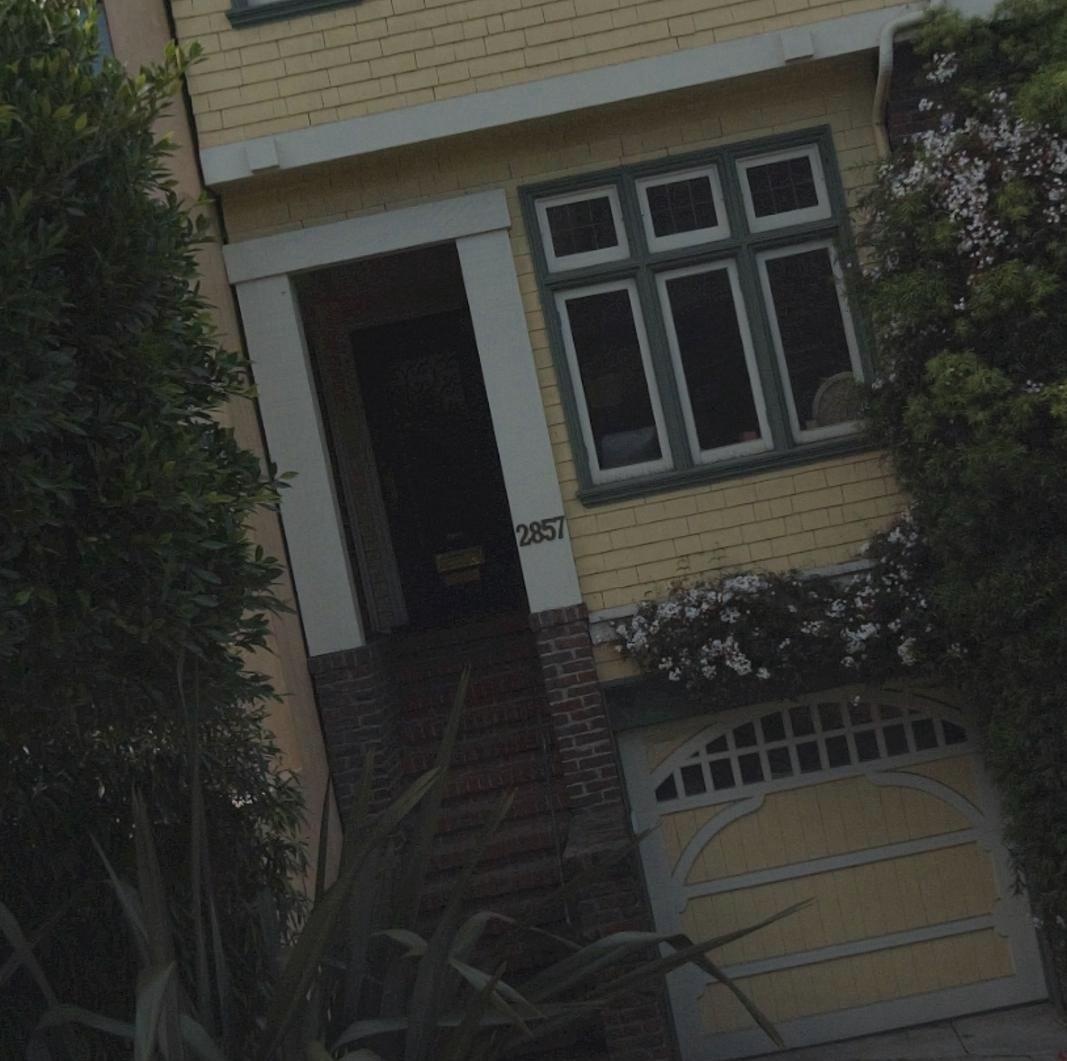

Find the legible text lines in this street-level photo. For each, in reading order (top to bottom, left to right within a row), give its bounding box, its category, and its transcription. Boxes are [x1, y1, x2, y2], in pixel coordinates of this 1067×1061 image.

[512, 512, 567, 551] StreetNumber: 2857